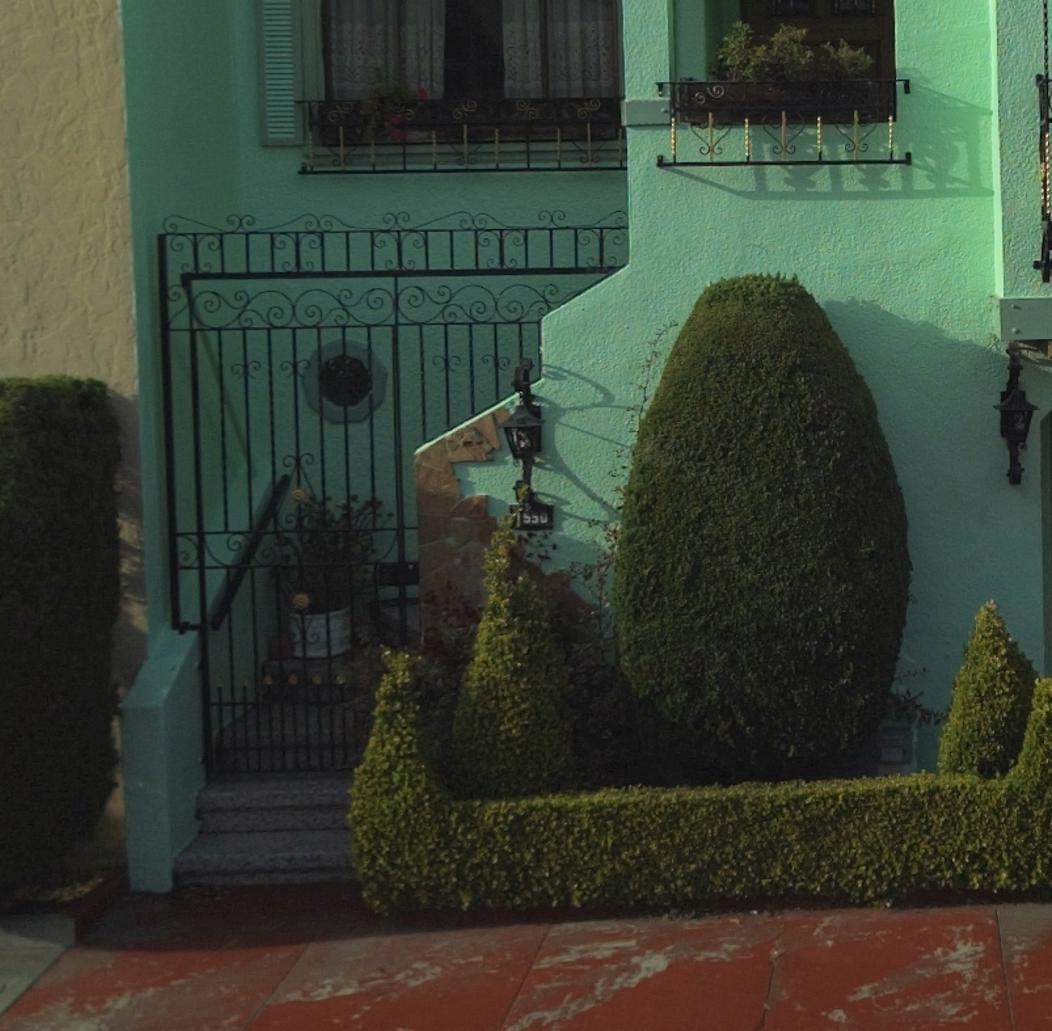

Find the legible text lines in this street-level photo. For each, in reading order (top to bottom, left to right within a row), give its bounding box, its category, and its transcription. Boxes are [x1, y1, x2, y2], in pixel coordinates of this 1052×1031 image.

[514, 510, 550, 526] StreetNumber: 1550